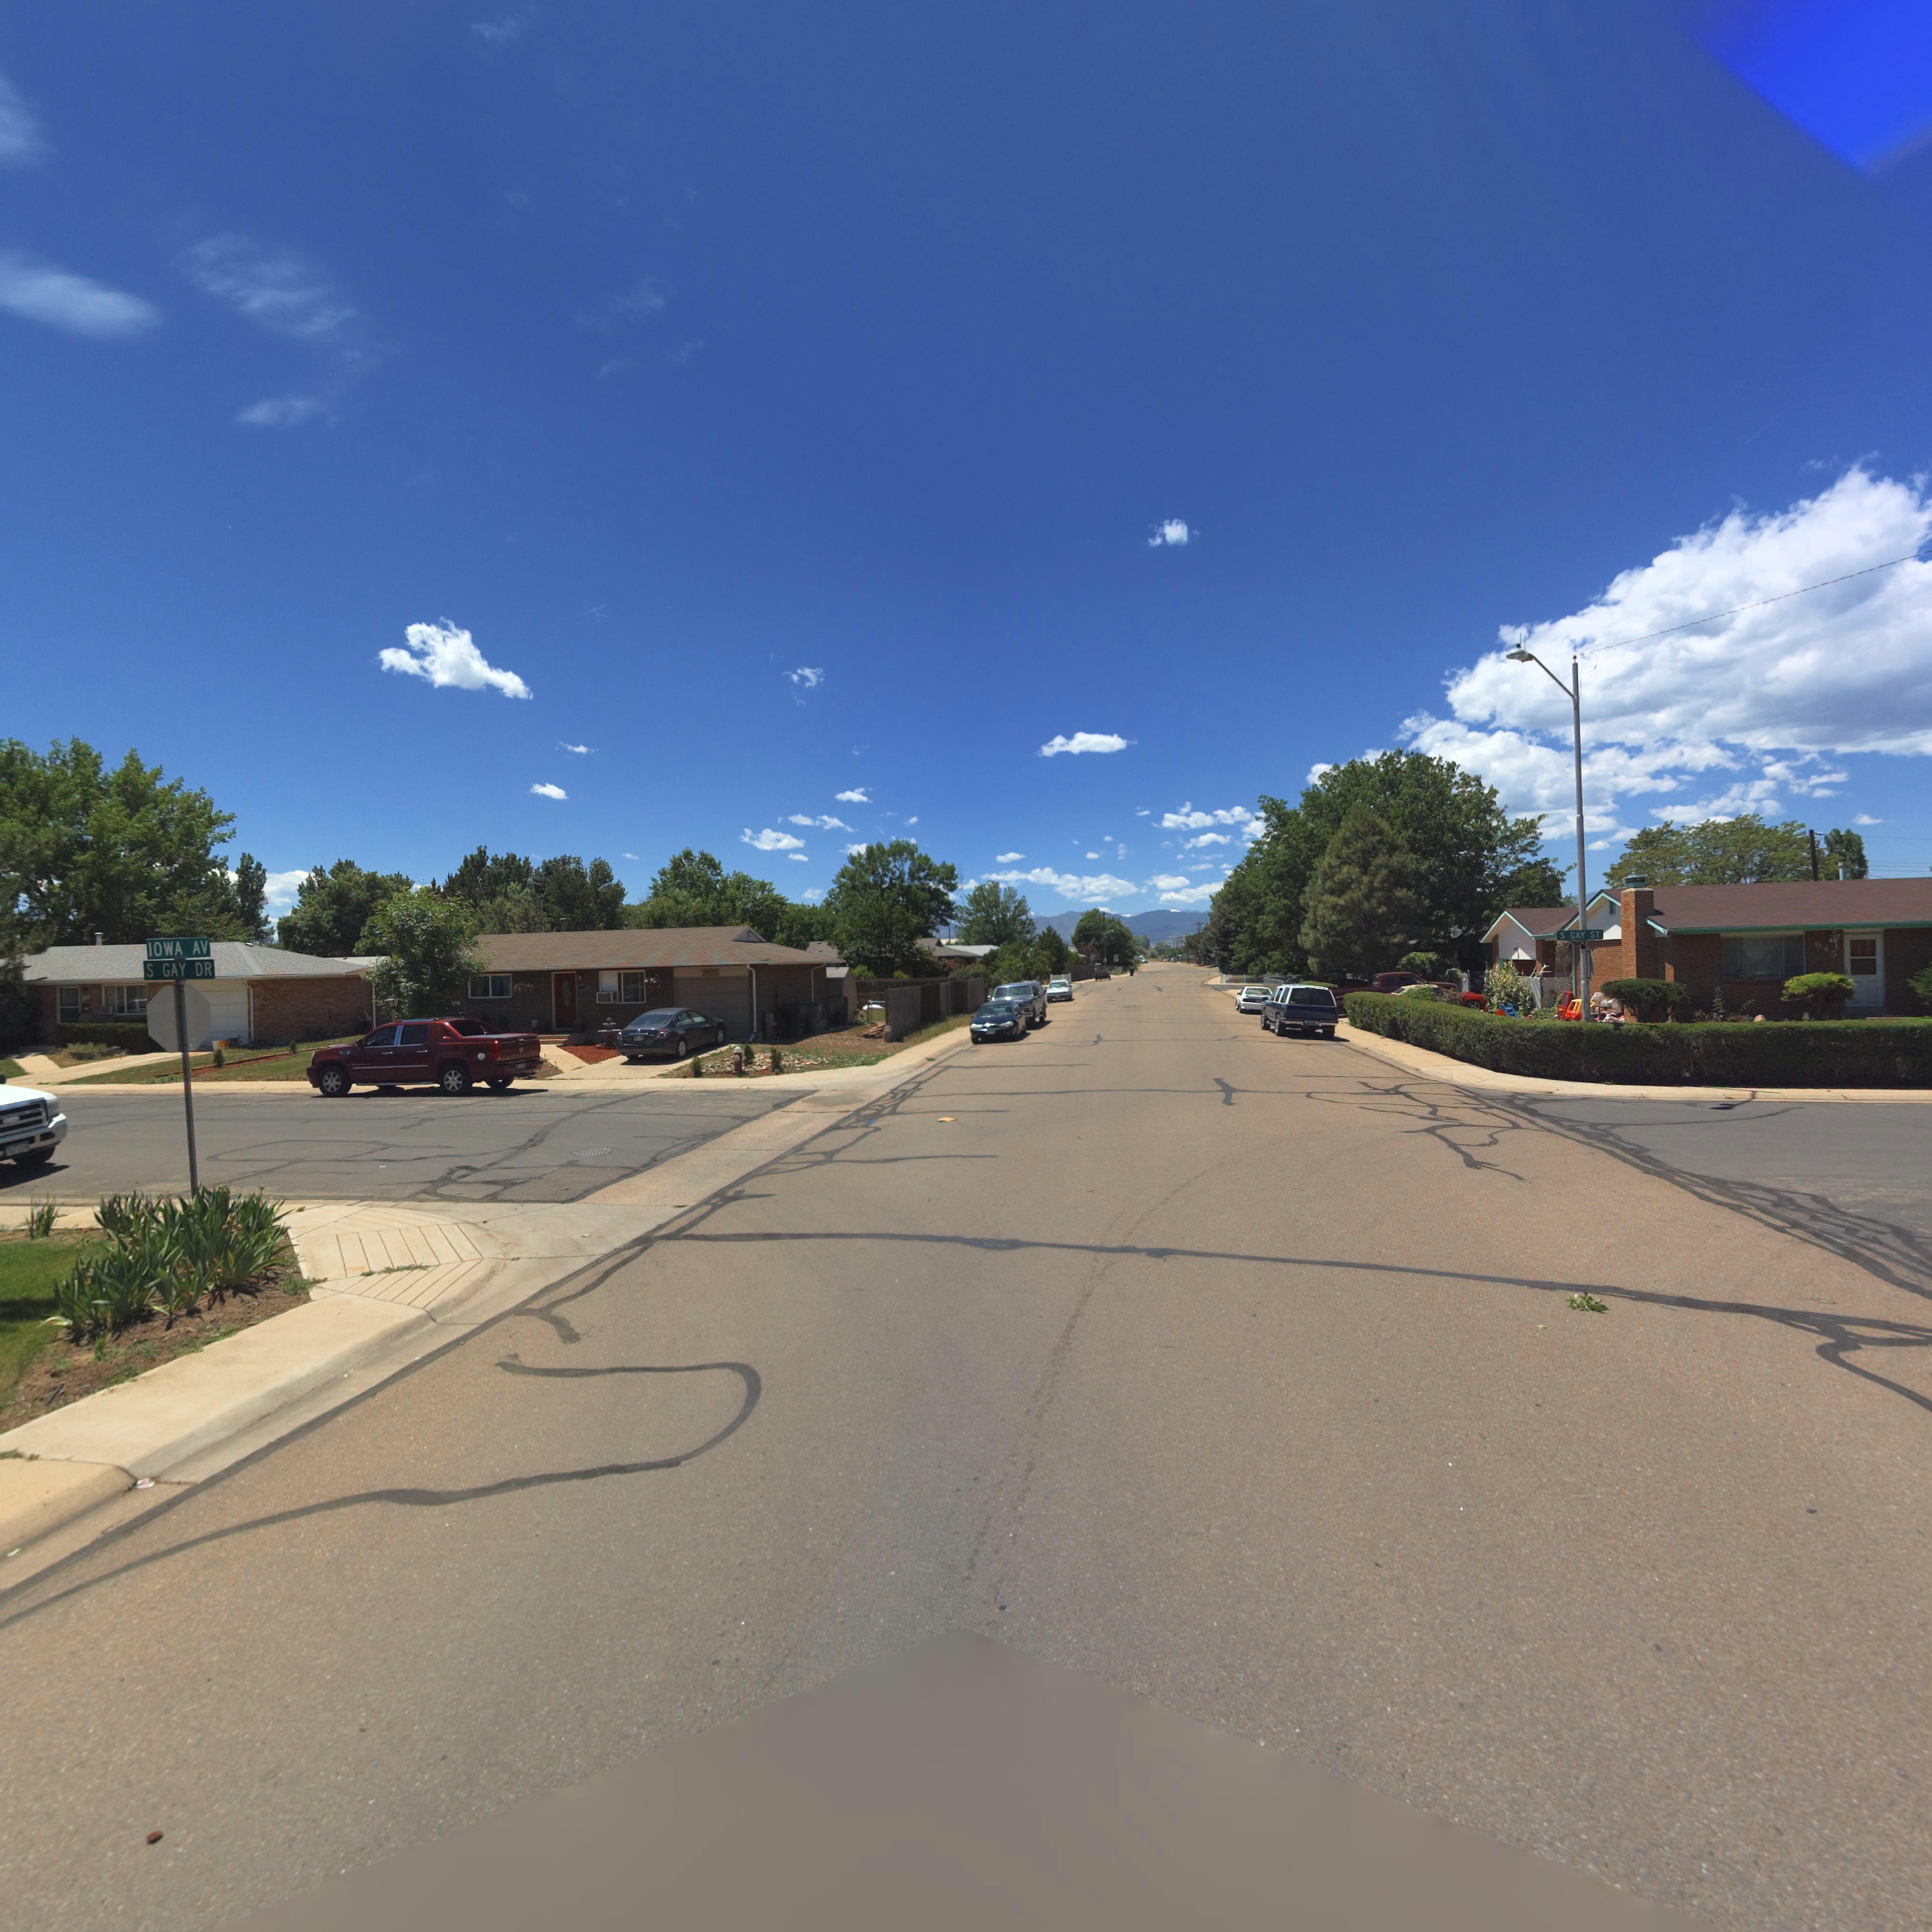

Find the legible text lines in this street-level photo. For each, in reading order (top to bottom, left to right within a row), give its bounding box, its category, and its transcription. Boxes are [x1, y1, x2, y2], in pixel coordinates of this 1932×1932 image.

[1560, 931, 1599, 939] StreetName: S GAY ST
[147, 940, 209, 957] StreetName: IOWA AV
[146, 961, 213, 977] StreetName: S GAY DR